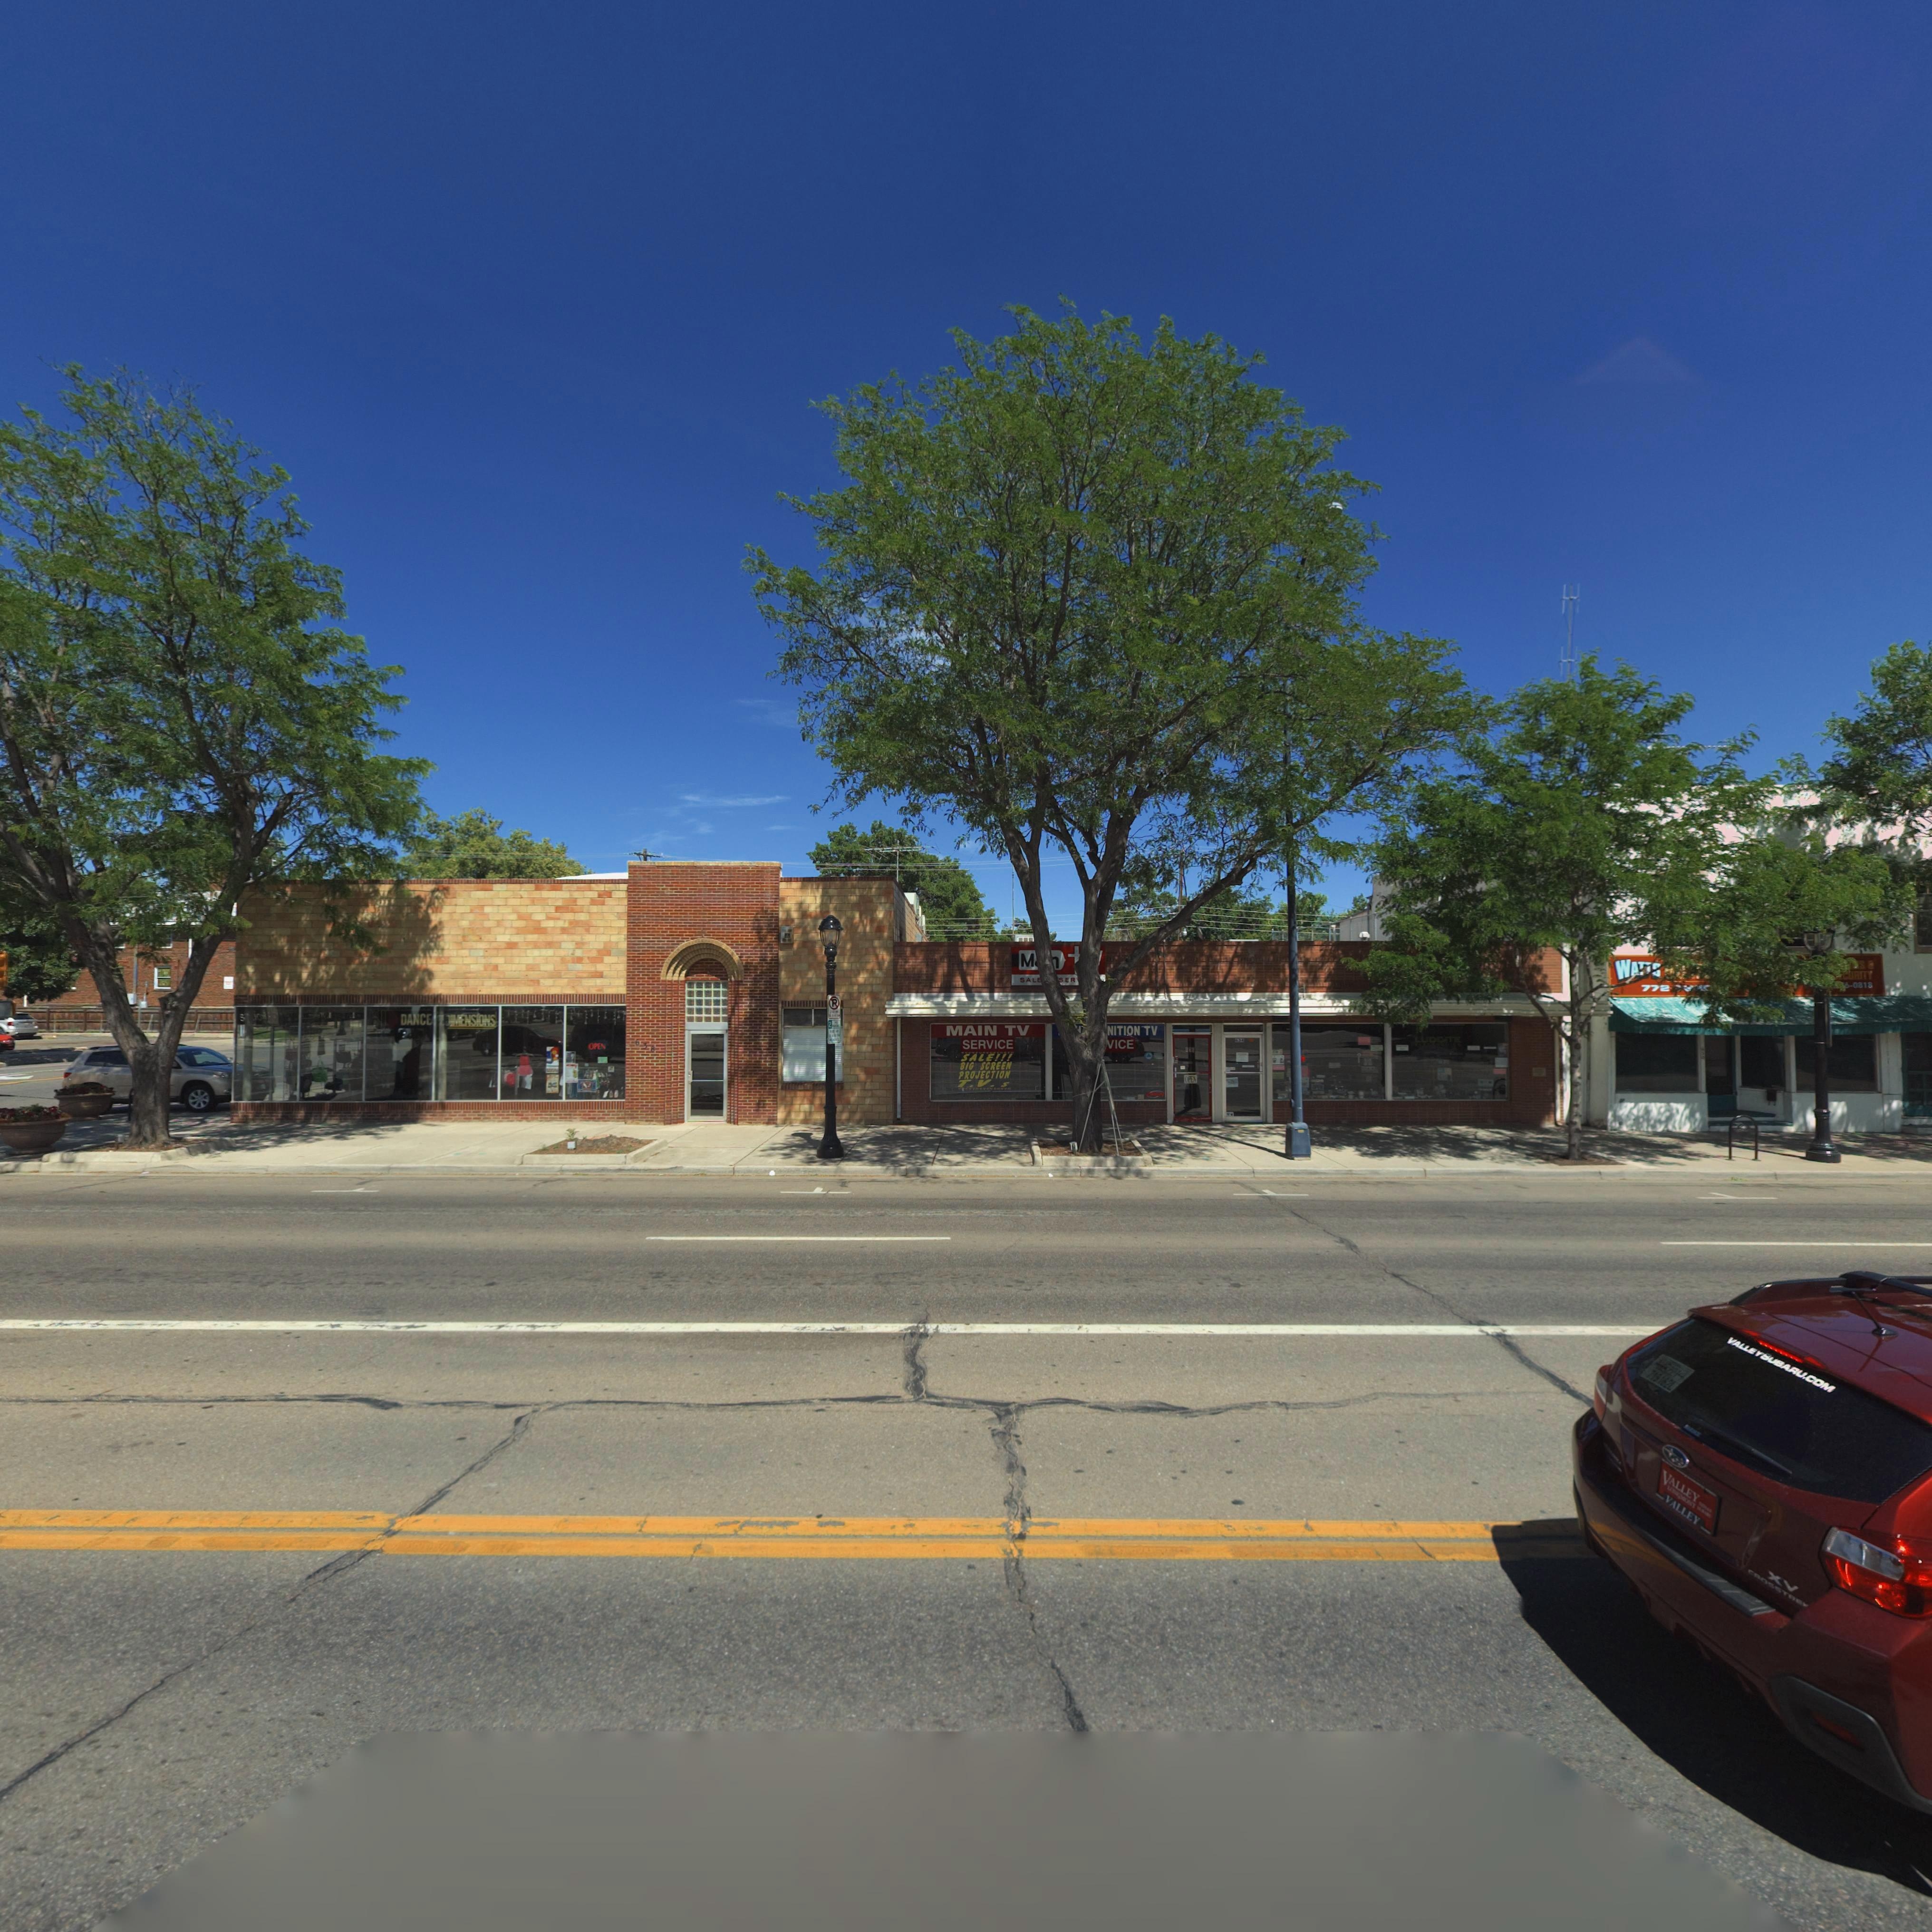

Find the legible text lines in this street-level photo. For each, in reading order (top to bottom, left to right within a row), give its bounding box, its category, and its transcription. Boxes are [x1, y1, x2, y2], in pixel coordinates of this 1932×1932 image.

[1021, 953, 1059, 967] BusinessName: M***
[1614, 958, 1661, 980] BusinessName: W****
[401, 1014, 432, 1025] BusinessName: DANCE
[445, 1014, 496, 1026] BusinessName: DIMENSIONS
[946, 1024, 1030, 1036] BusinessName: MAIN TV
[635, 1038, 655, 1052] StreetNumber: 638
[962, 1039, 1014, 1049] BusinessName: SERVICE
[1235, 1038, 1244, 1042] StreetNumber: *34
[1414, 1036, 1461, 1043] BusinessName: LUDDITE